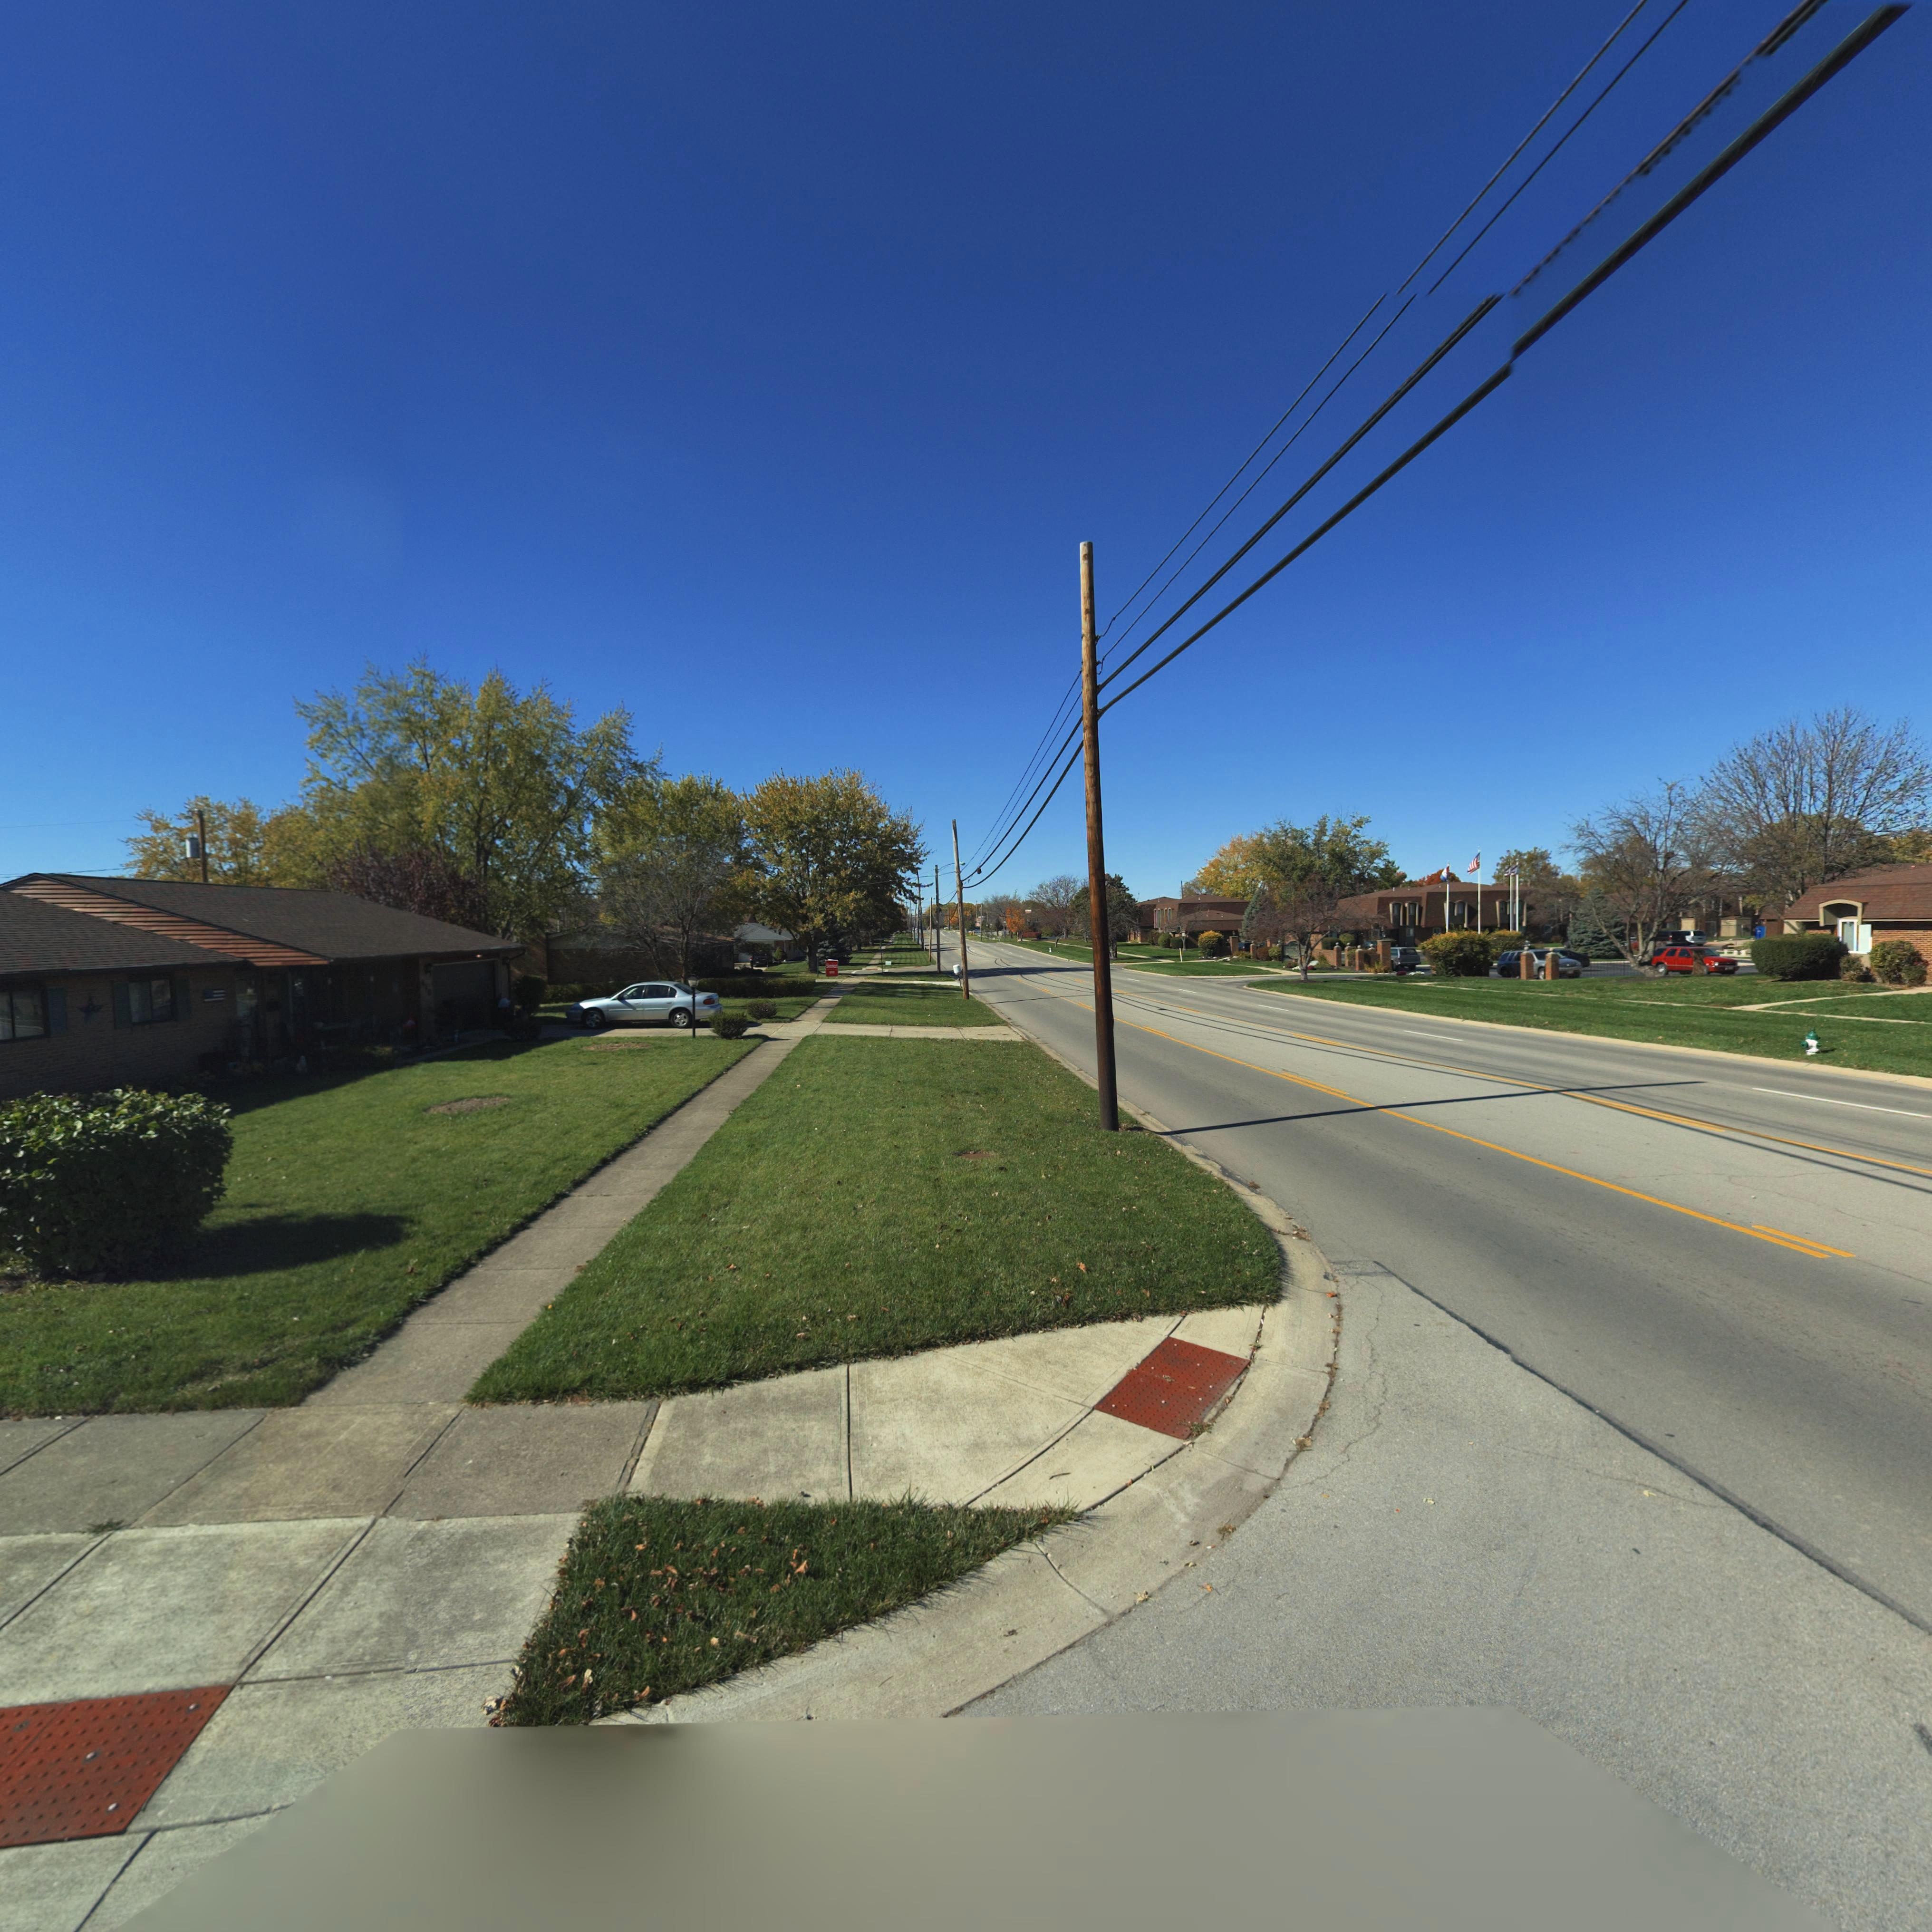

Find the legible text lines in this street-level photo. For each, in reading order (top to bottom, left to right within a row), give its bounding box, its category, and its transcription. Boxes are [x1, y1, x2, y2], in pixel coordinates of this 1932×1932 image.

[421, 978, 432, 997] StreetNumber: 10